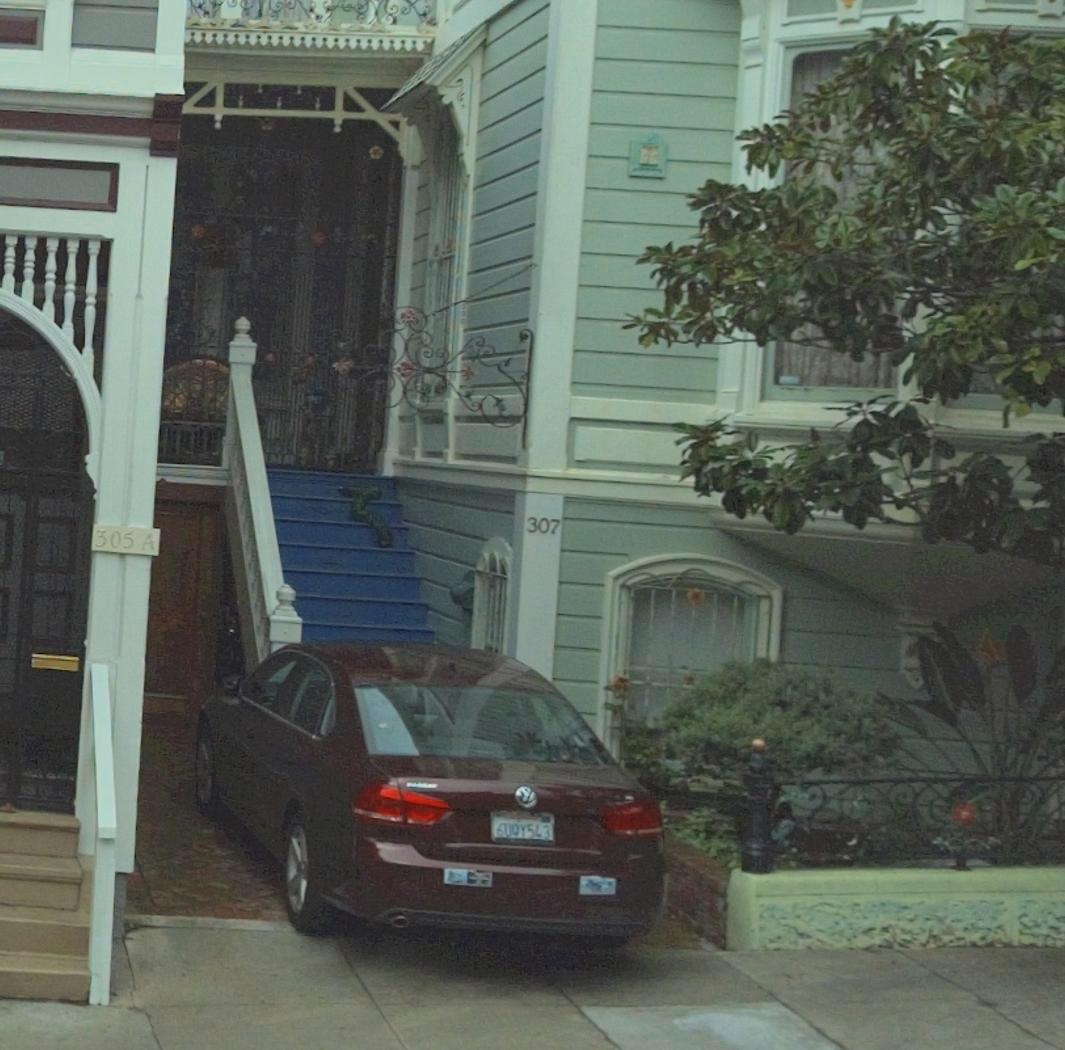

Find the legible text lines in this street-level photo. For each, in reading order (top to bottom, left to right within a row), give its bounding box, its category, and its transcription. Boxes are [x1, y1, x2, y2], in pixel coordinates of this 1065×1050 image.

[524, 514, 564, 538] StreetNumber: 307
[91, 525, 159, 555] StreetNumber: 305 A
[494, 818, 553, 842] None: 6U*Y543